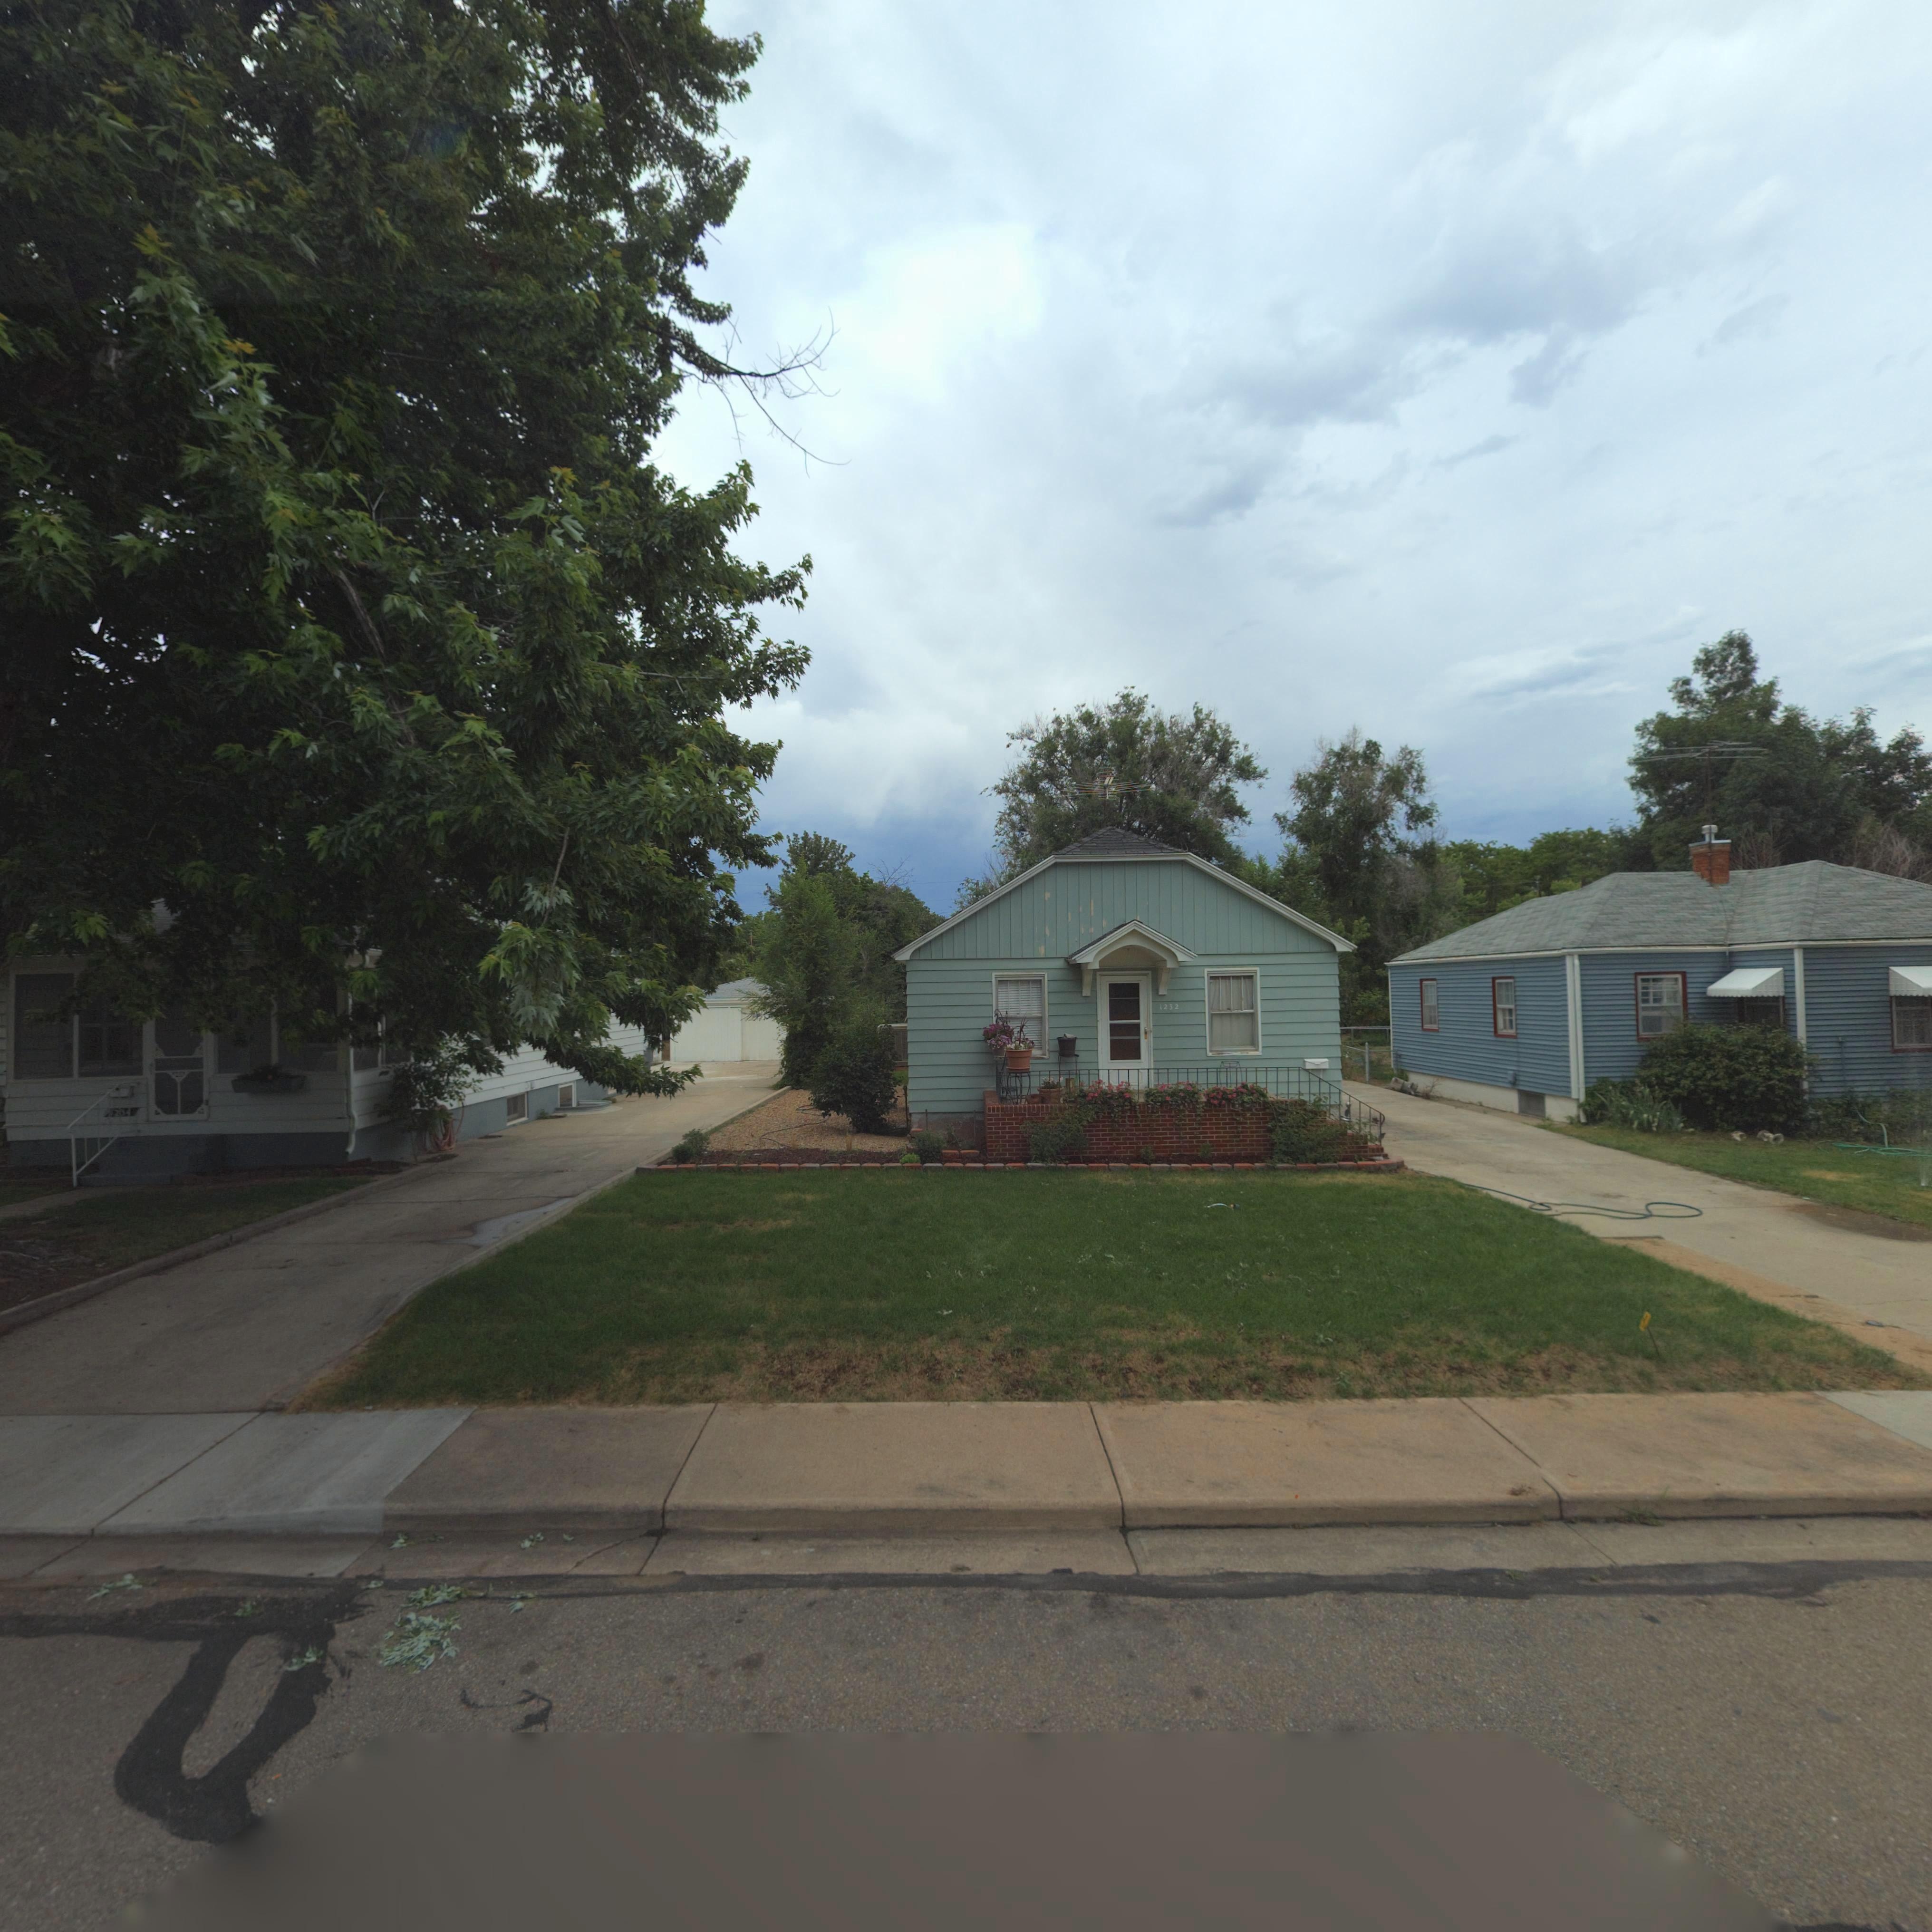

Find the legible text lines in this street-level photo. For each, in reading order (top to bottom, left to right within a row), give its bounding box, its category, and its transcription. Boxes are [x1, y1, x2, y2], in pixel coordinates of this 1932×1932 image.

[1159, 1004, 1179, 1009] StreetNumber: 1232